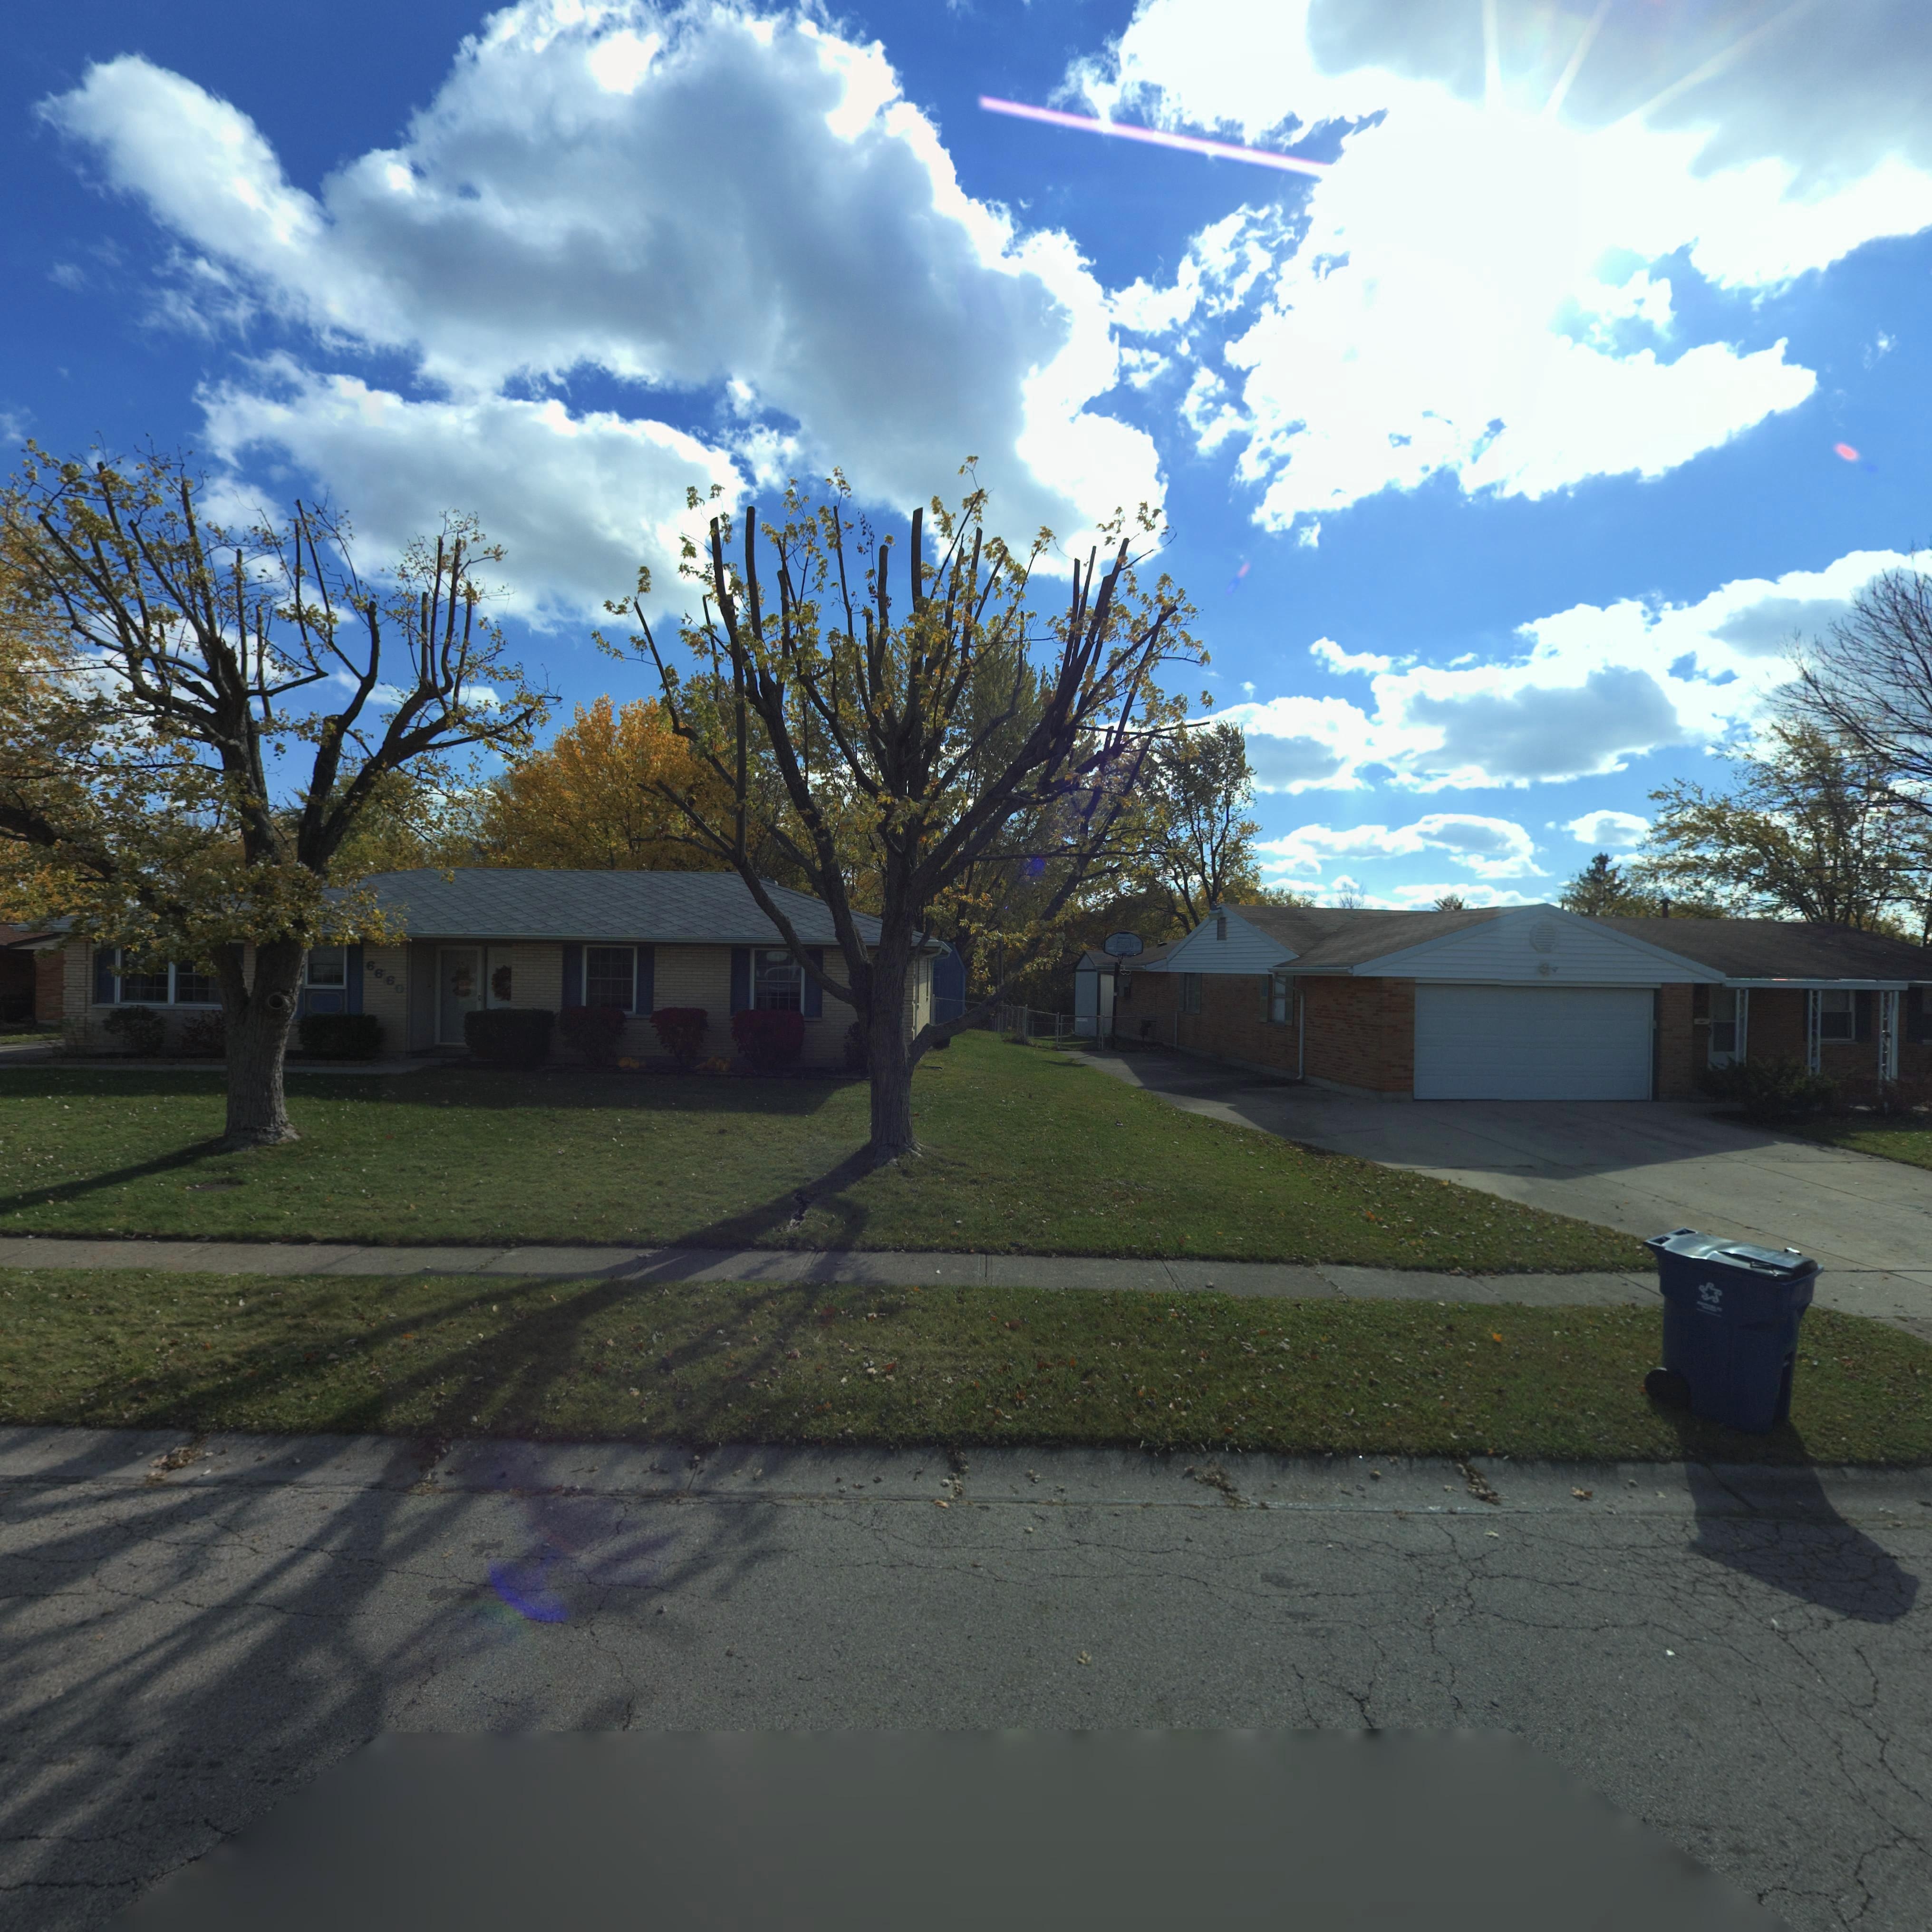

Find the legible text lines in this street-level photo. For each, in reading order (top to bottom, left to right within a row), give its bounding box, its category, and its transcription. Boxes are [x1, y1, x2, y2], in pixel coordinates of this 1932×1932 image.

[365, 960, 405, 994] StreetNumber: 6660